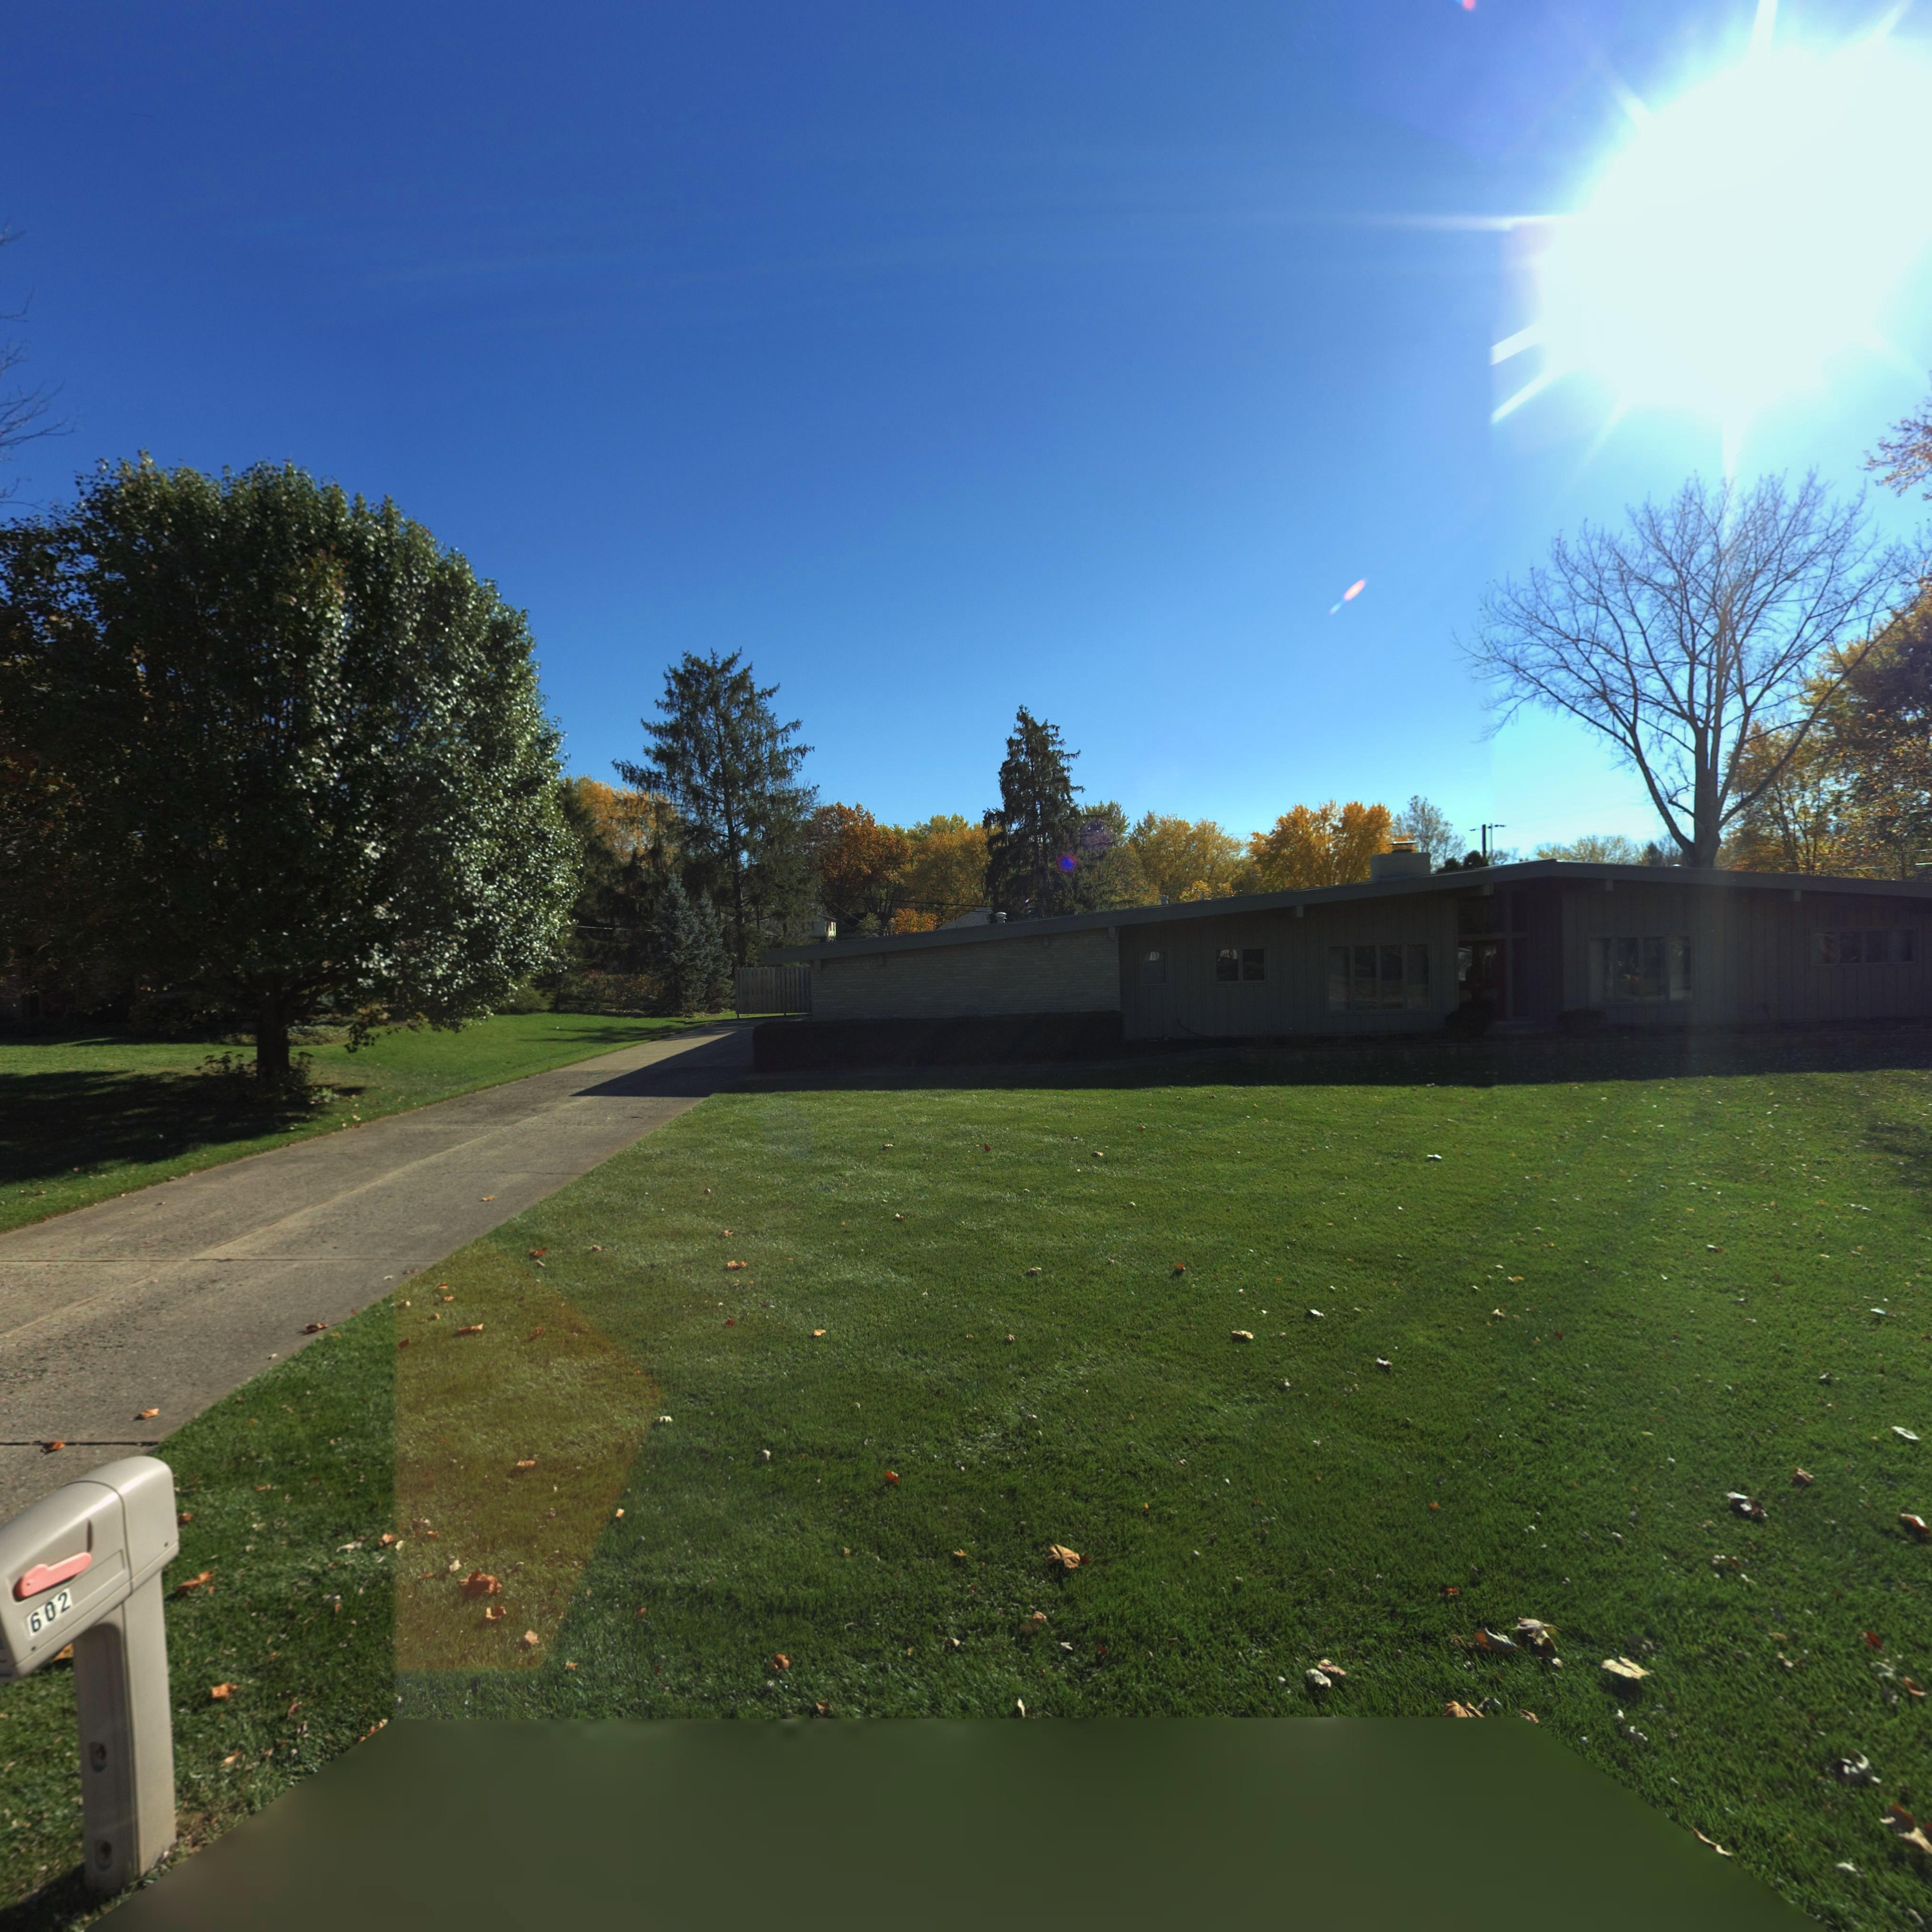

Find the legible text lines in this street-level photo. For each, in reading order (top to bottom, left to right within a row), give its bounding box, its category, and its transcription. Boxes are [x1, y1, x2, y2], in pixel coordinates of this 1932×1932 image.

[26, 1587, 74, 1636] StreetNumber: 602